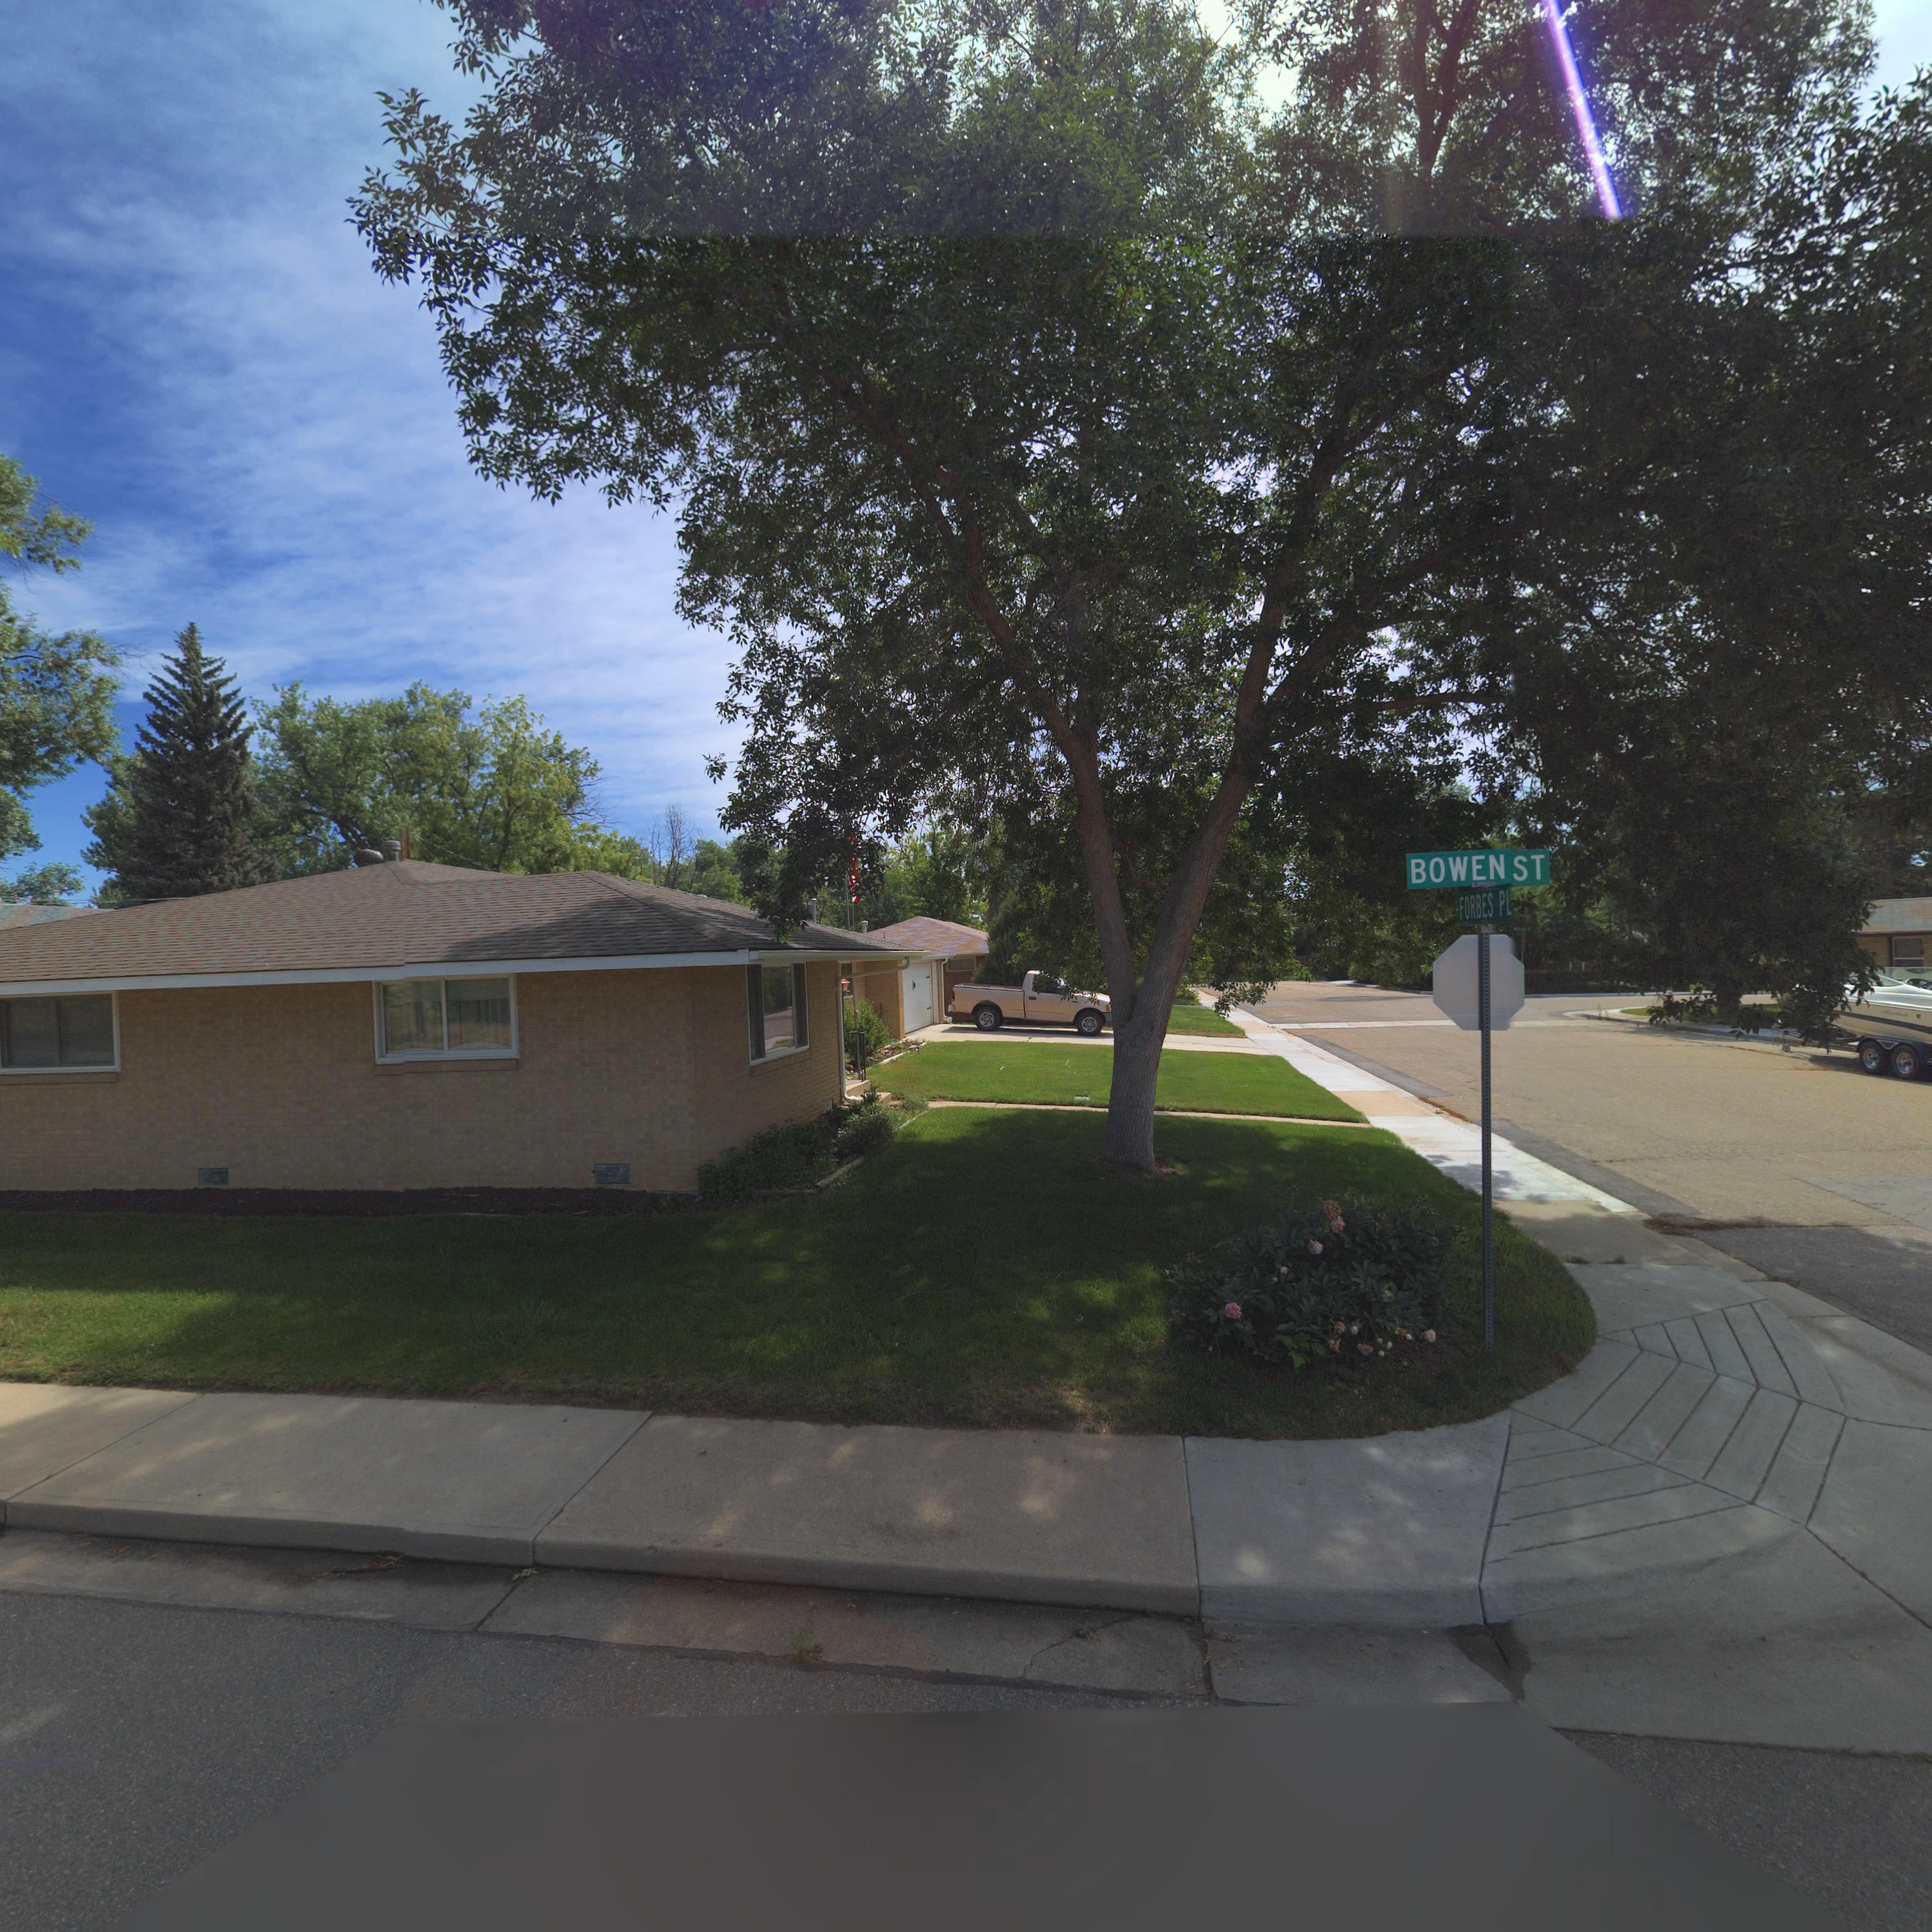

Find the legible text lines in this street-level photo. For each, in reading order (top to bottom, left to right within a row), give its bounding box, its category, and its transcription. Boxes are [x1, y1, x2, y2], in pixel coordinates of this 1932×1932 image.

[1410, 853, 1546, 885] StreetName: BOWEN ST
[1458, 888, 1512, 921] StreetName: FORBES PL